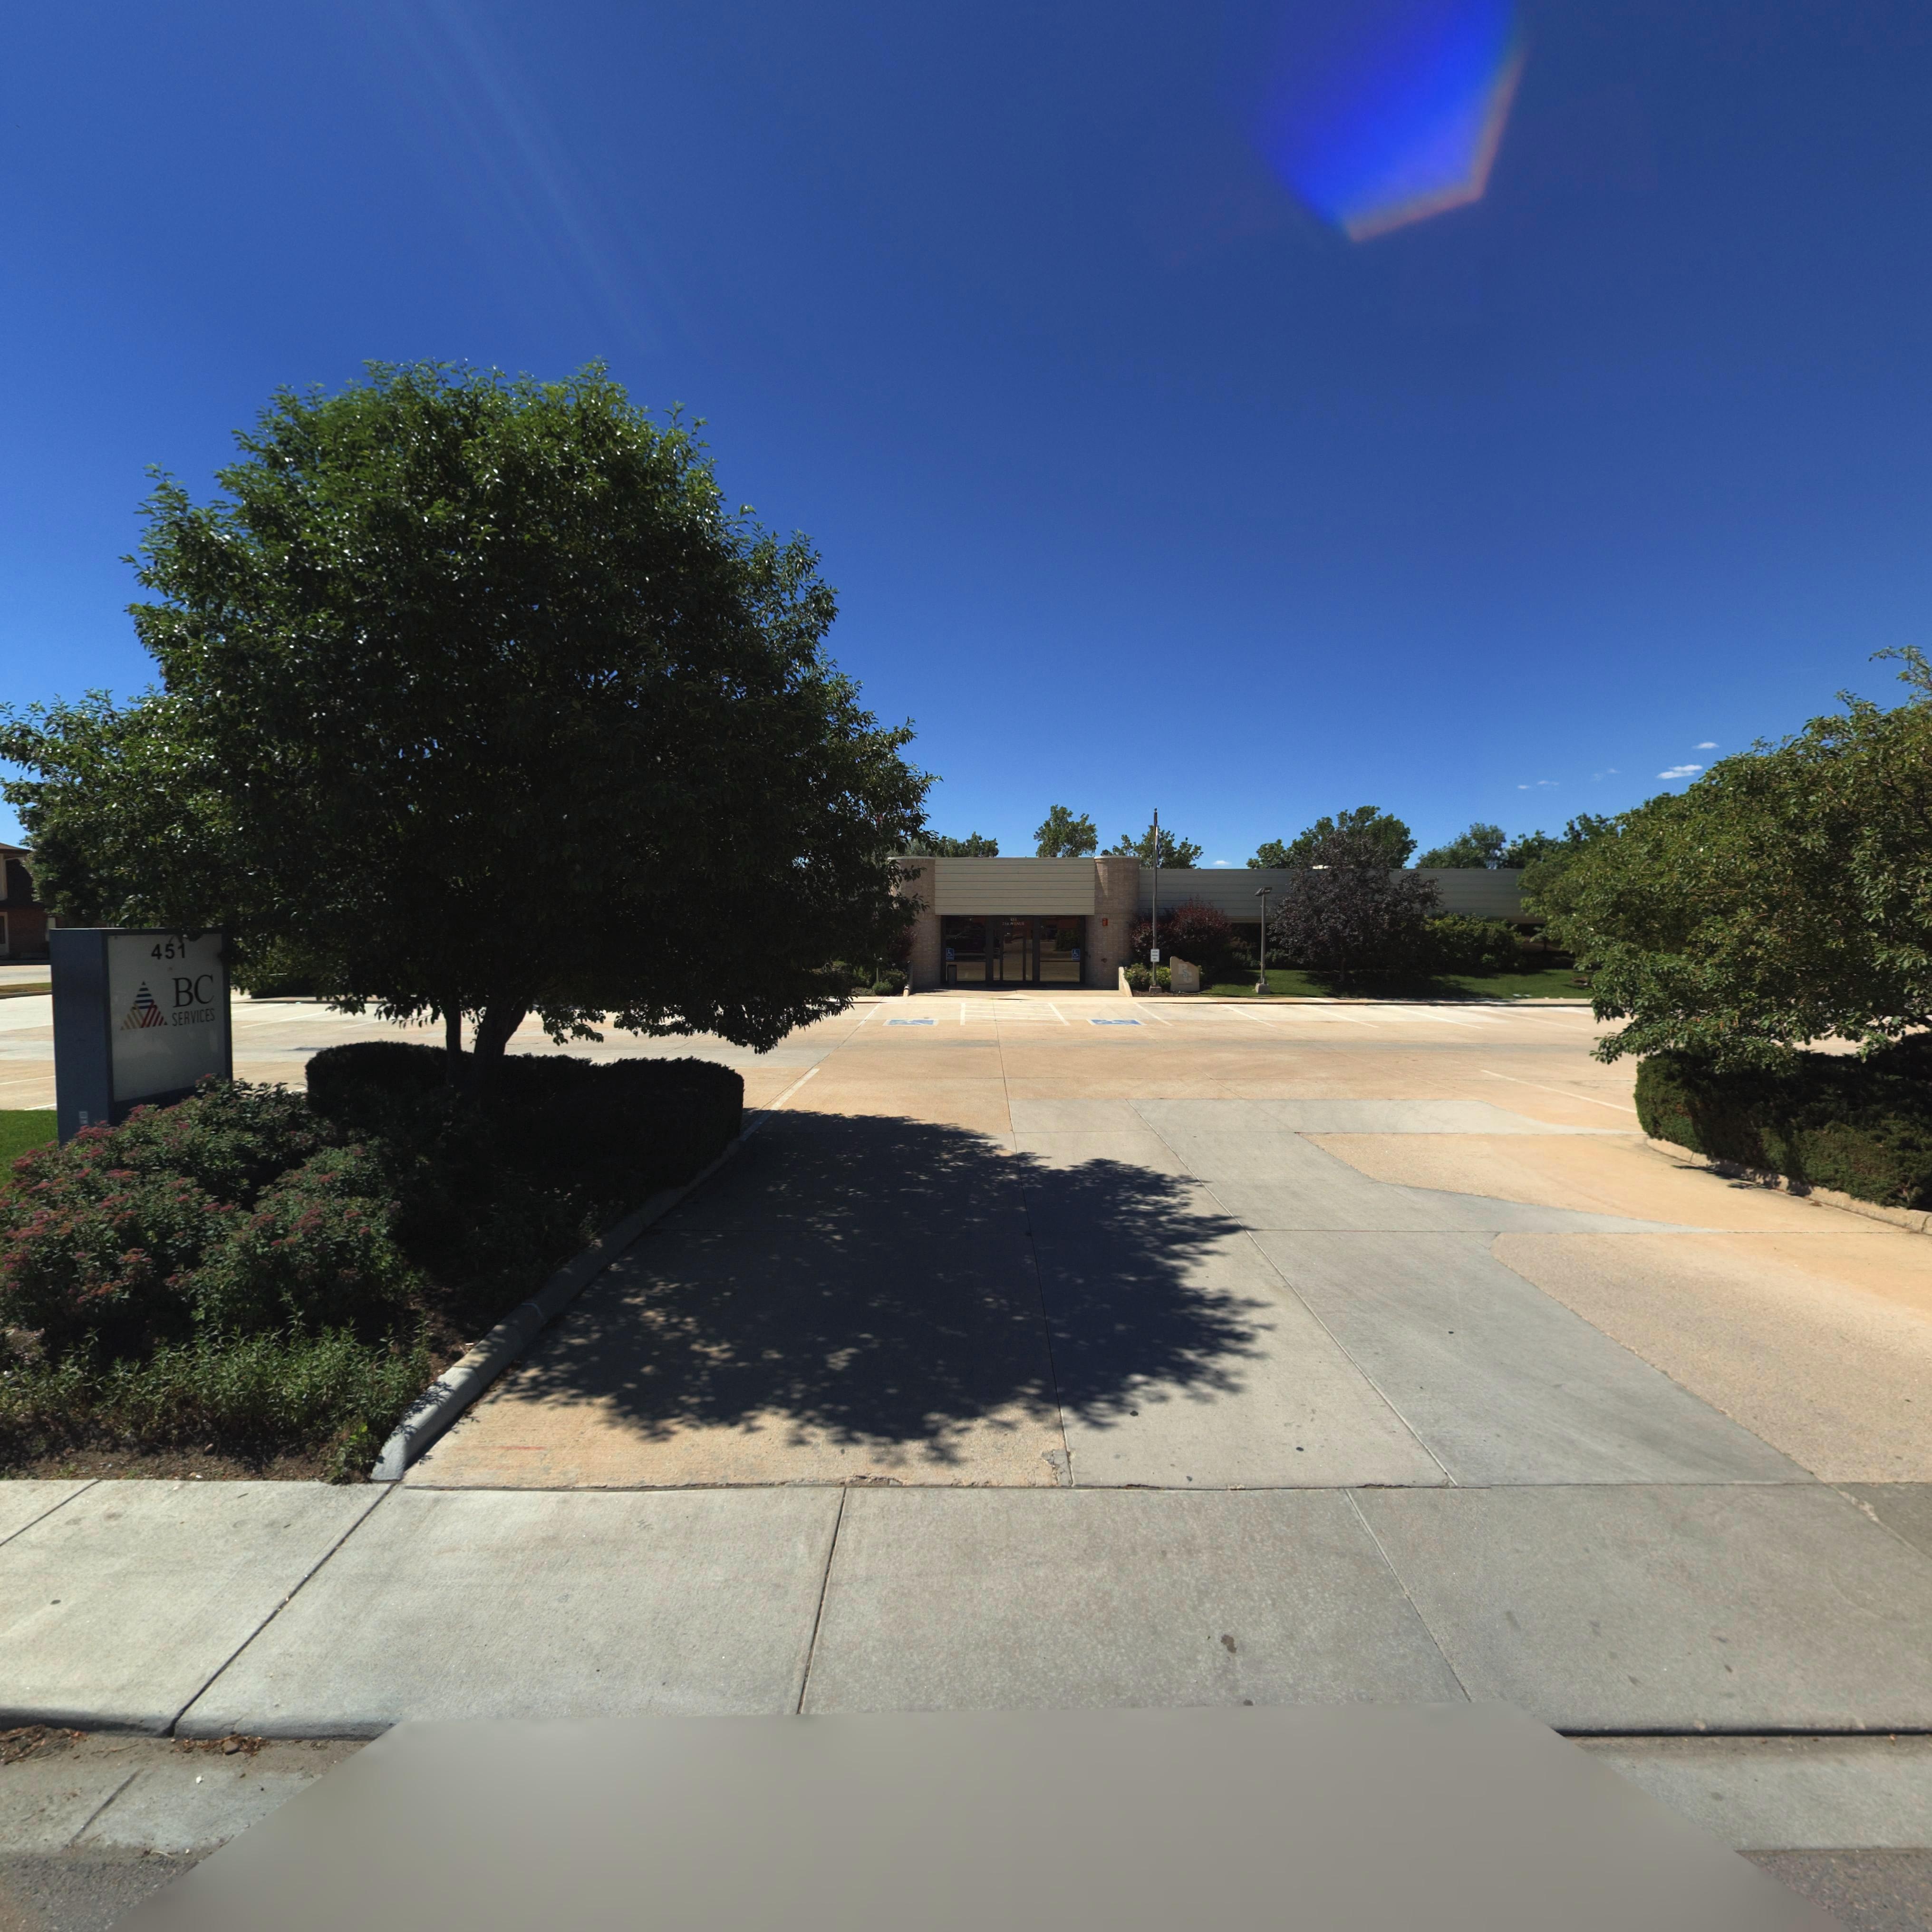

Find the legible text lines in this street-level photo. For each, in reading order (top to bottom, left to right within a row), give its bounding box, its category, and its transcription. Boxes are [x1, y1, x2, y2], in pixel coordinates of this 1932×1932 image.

[151, 940, 184, 960] StreetNumber: 451
[262, 1080, 281, 1095] StreetNumber: 515